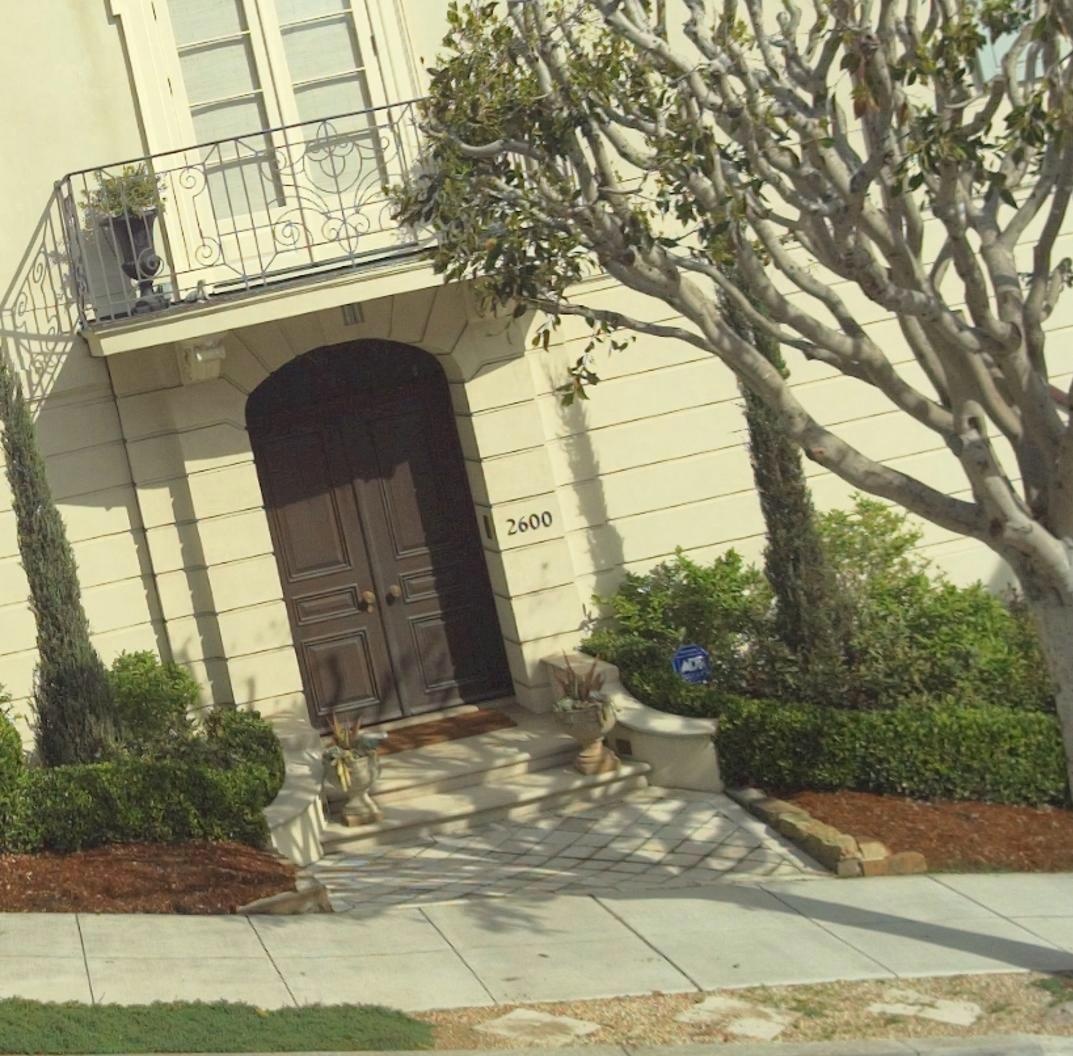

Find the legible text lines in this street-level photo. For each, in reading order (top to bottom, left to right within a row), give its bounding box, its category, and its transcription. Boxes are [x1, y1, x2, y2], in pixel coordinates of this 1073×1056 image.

[501, 506, 557, 540] StreetNumber: 2600
[678, 652, 708, 676] None: ADT